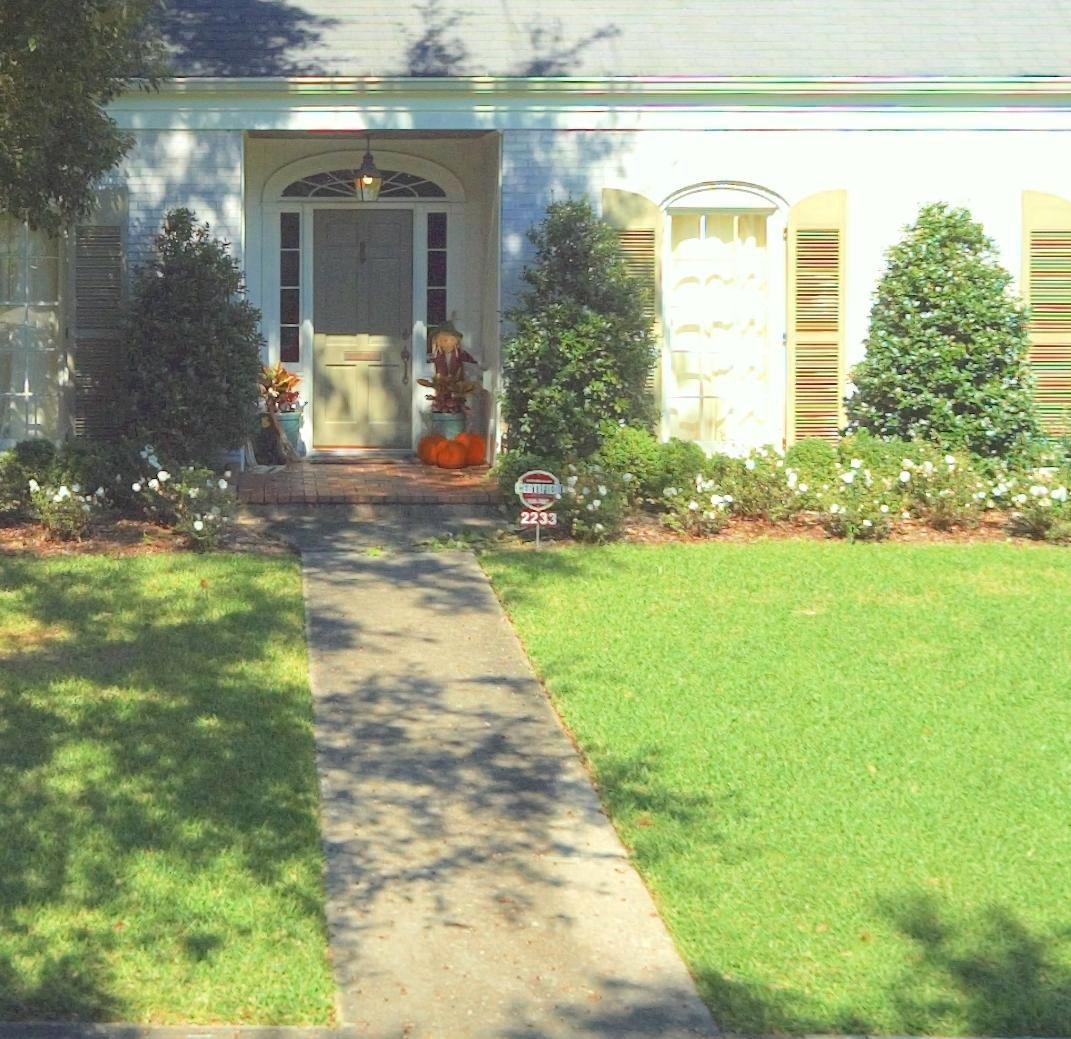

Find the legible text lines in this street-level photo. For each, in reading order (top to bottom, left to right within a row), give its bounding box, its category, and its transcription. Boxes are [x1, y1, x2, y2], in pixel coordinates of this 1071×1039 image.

[518, 510, 559, 527] StreetNumber: 2233